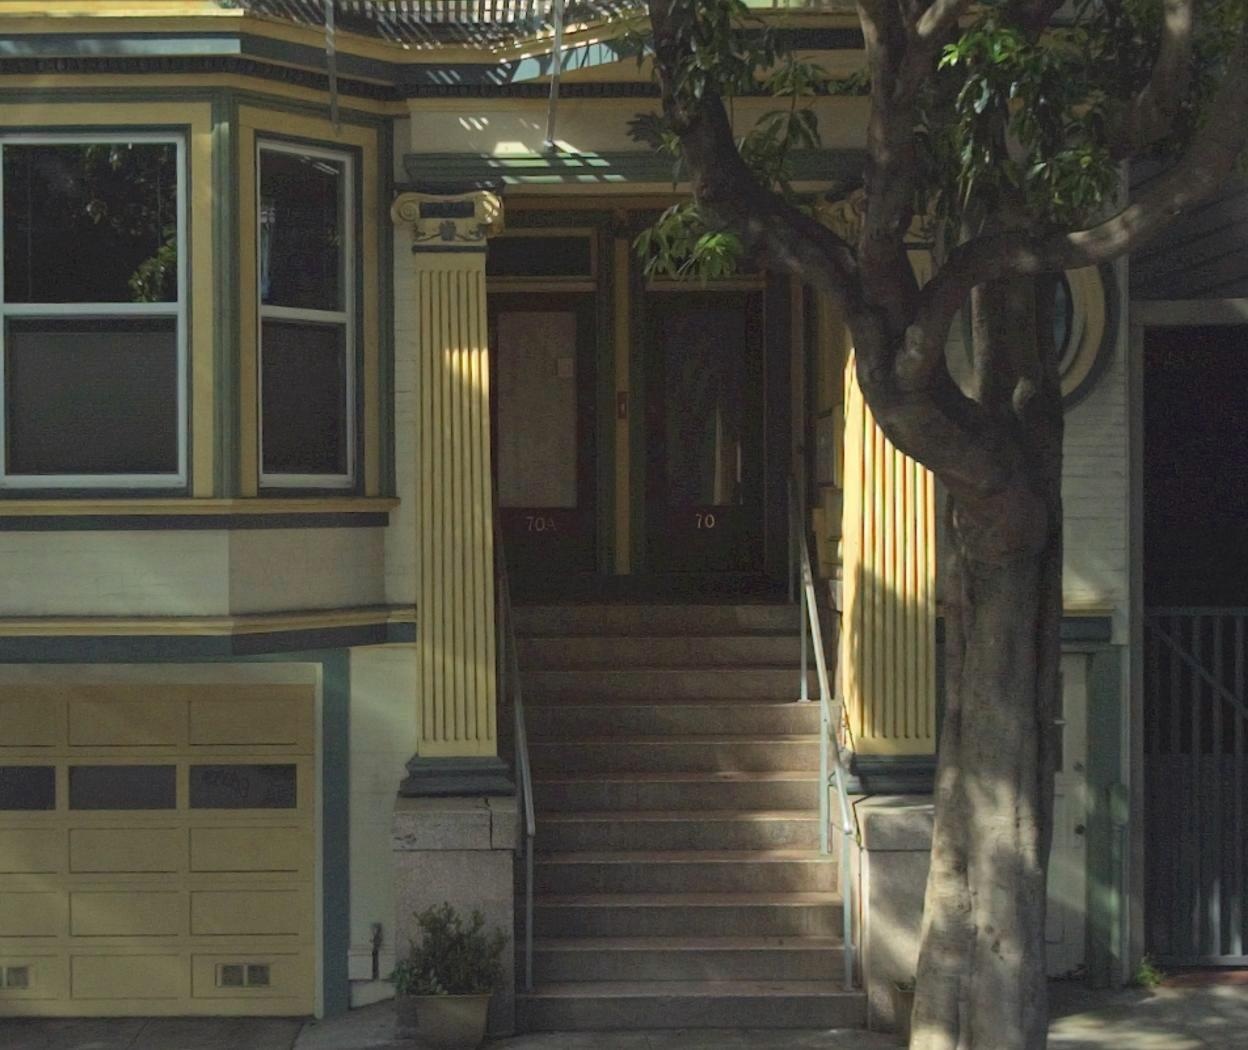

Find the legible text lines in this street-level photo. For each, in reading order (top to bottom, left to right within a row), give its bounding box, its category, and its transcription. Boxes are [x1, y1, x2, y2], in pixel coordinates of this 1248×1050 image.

[525, 515, 557, 532] StreetNumber: 70A
[693, 512, 716, 529] StreetNumber: 70